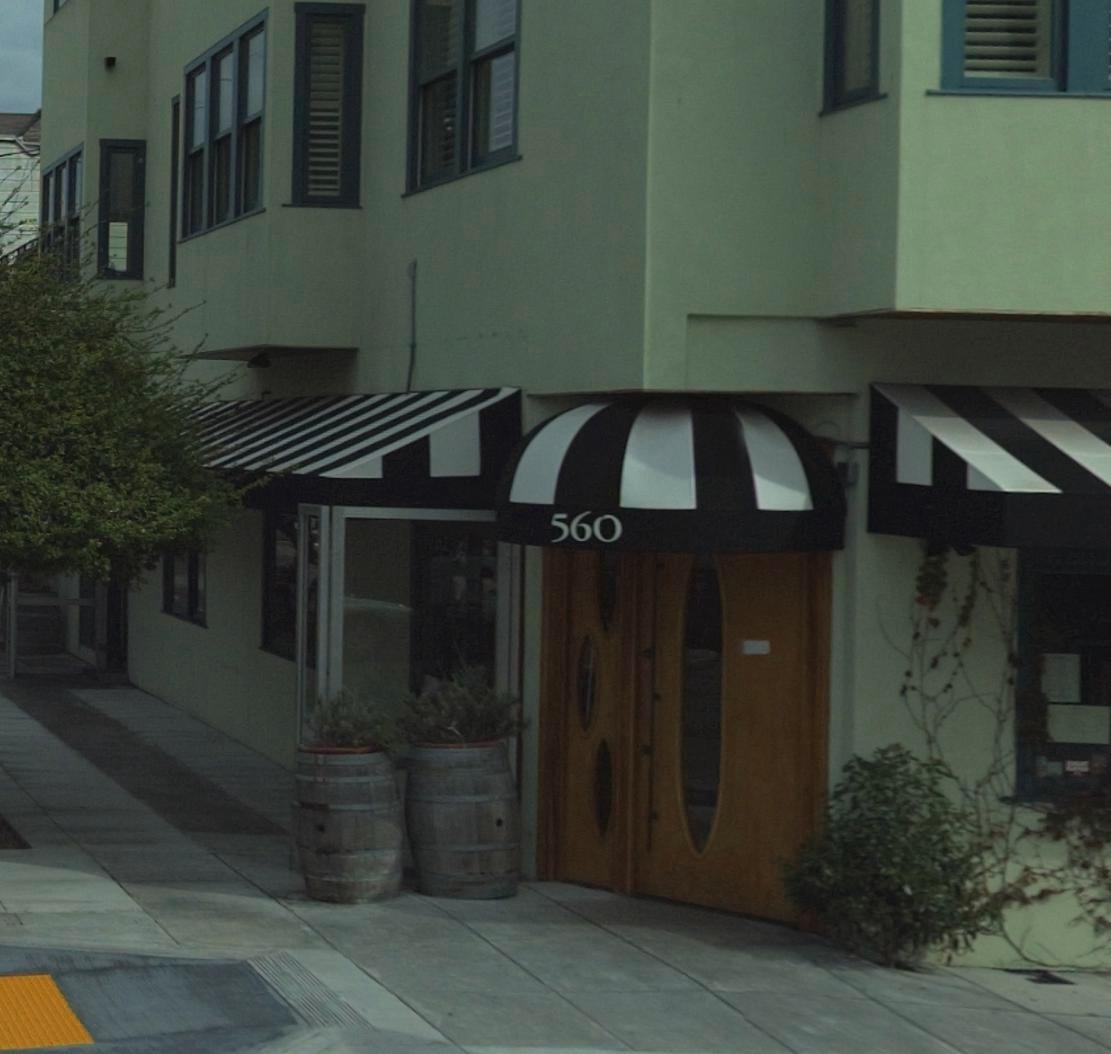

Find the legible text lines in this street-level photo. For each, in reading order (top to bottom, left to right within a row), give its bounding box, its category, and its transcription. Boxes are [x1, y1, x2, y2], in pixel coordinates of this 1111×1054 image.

[548, 508, 625, 546] StreetNumber: 560